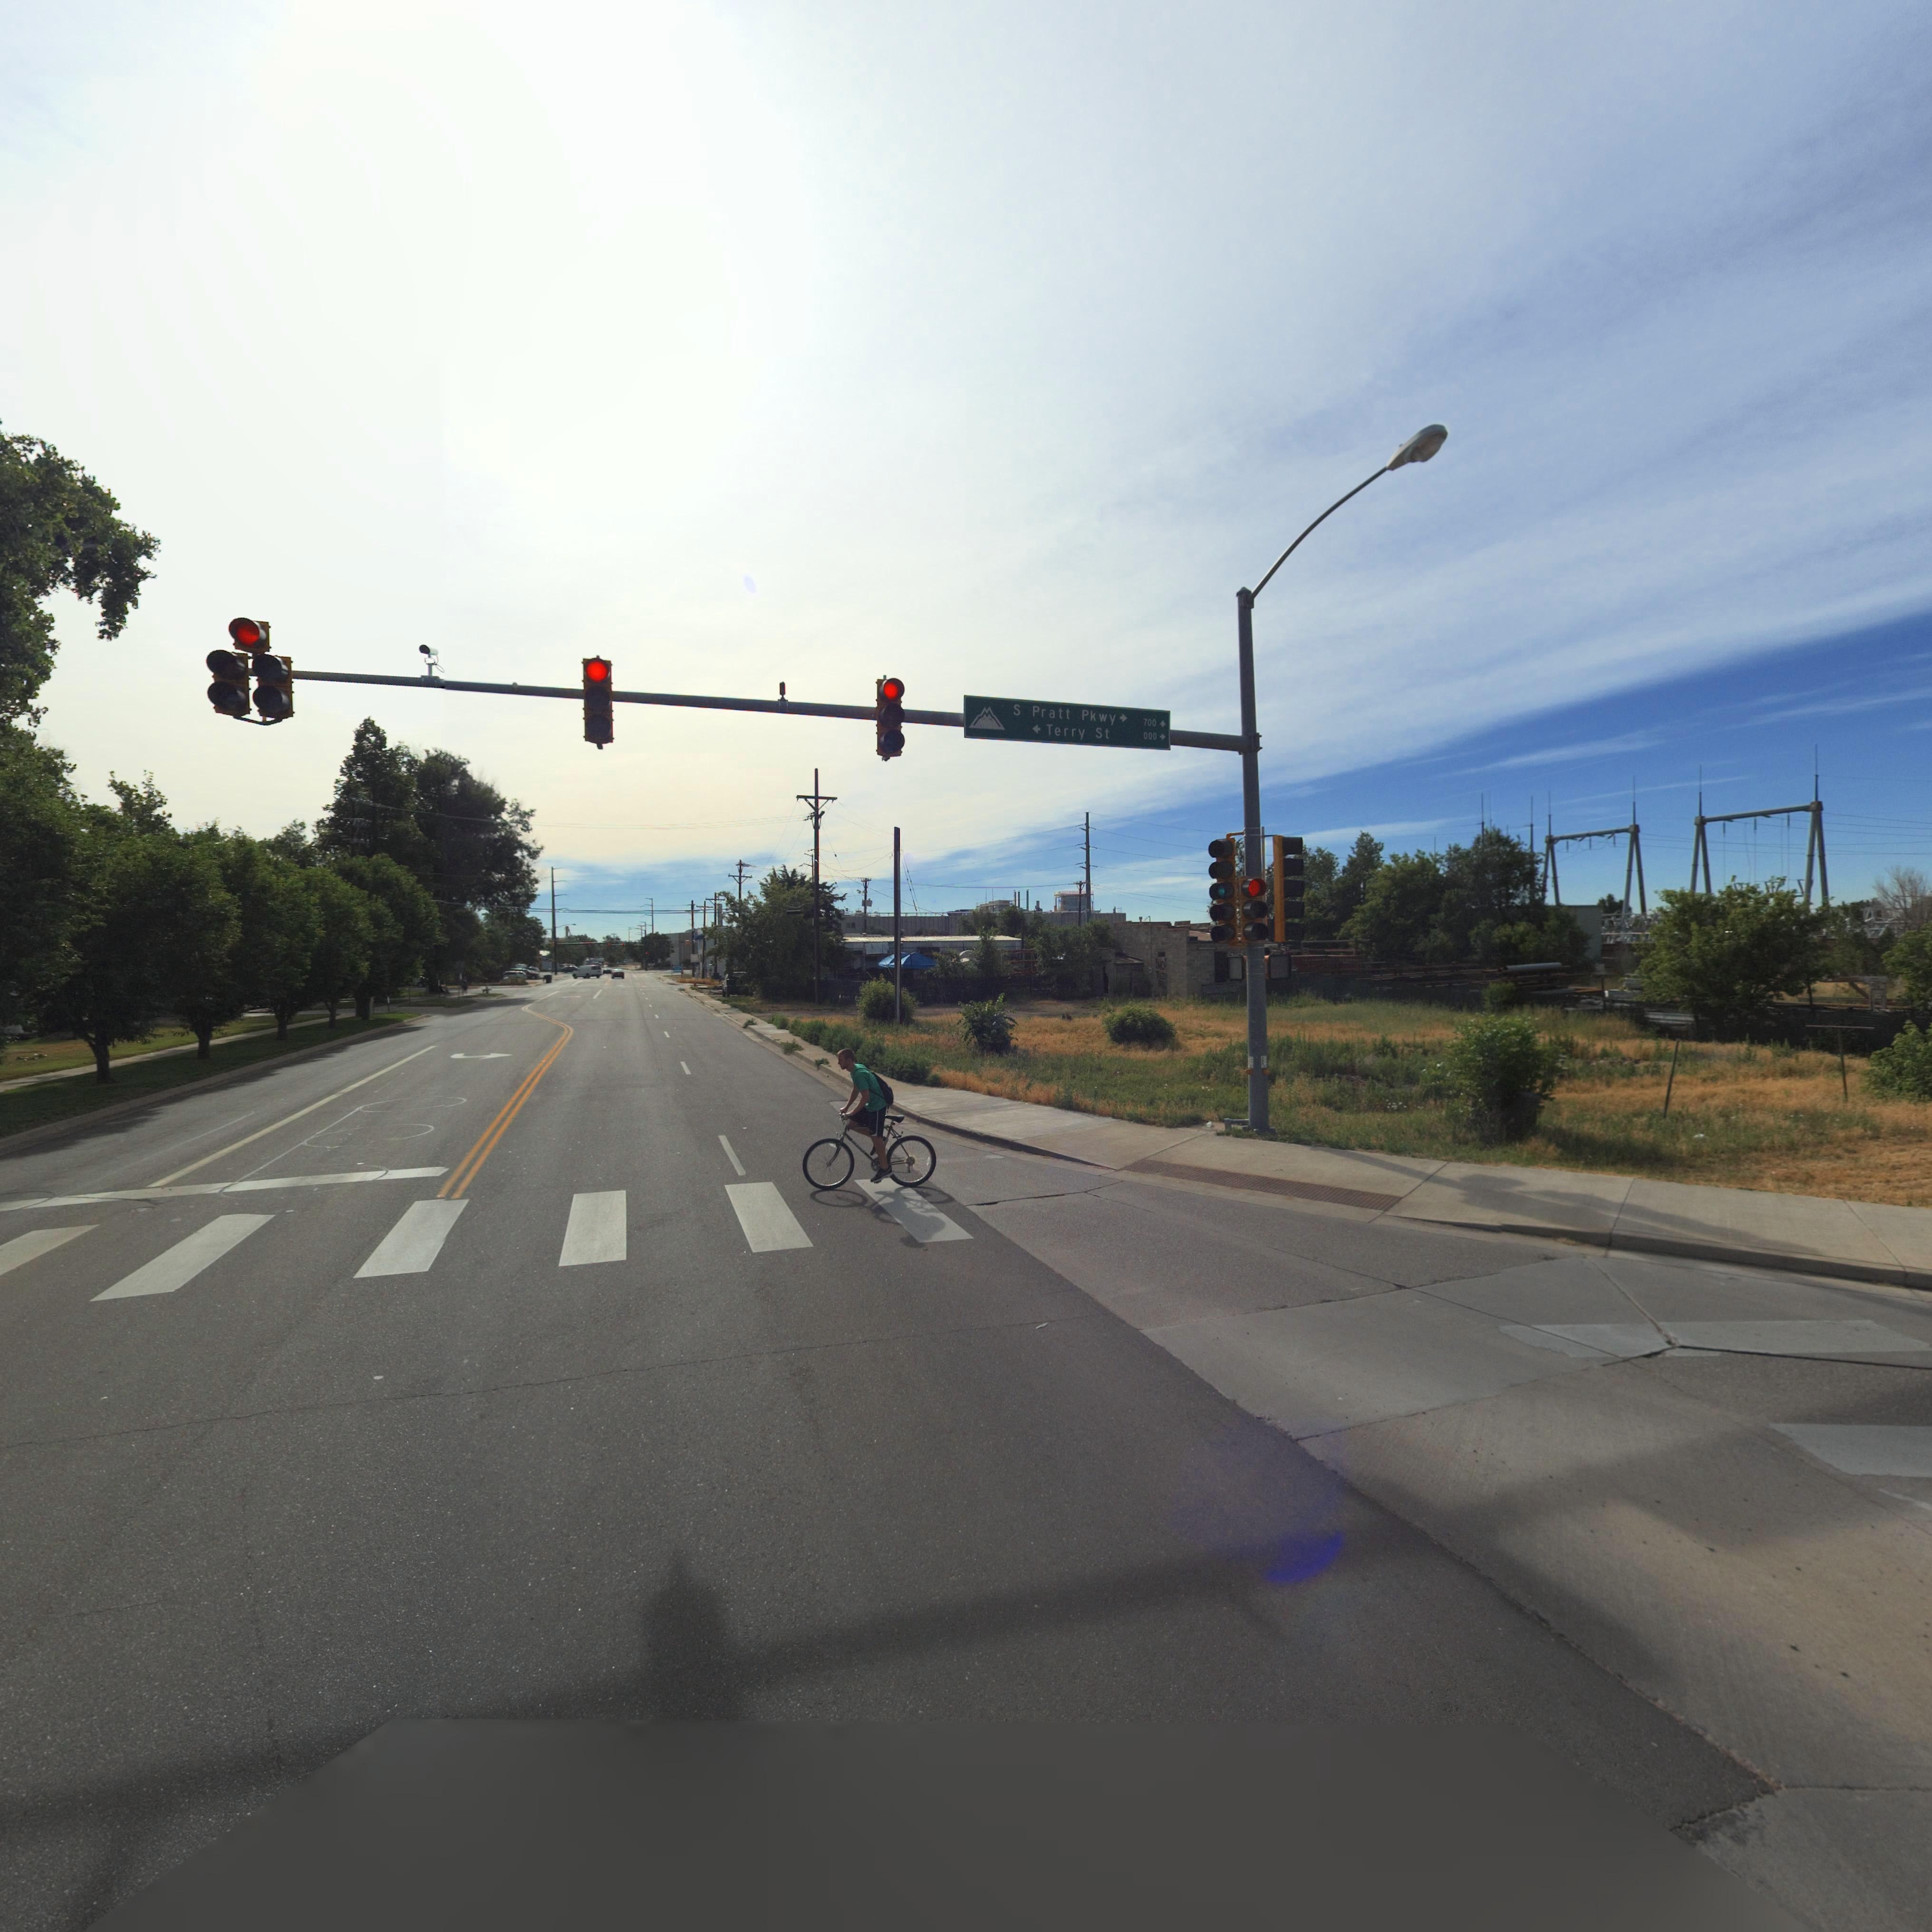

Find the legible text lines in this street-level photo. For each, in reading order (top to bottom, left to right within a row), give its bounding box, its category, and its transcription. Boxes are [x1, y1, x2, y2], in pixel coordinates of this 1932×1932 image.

[1013, 703, 1117, 726] StreetName: S Pratt Pkwy
[1143, 718, 1157, 727] StreetNumberRange: 700
[1046, 724, 1110, 740] StreetName: Terry St
[1142, 731, 1166, 741] StreetNumberRange: 000->